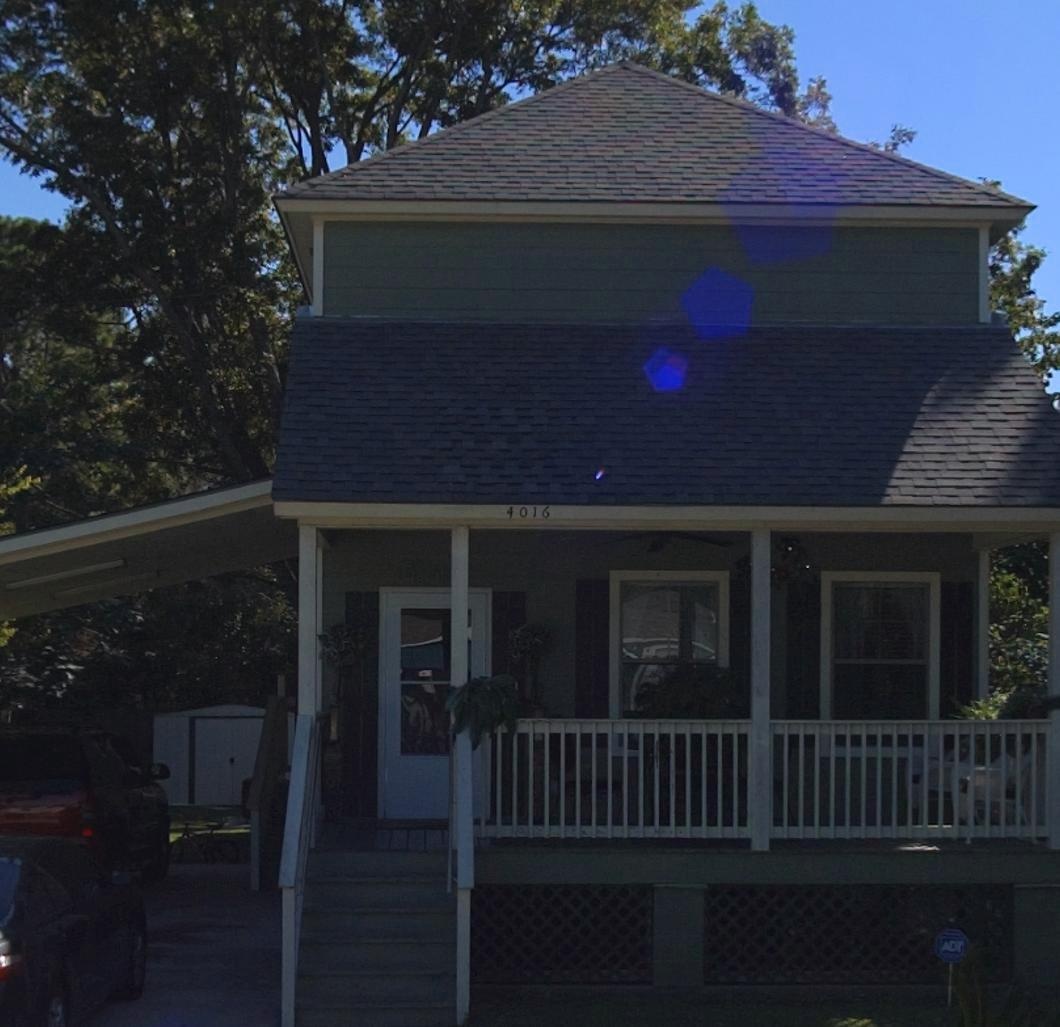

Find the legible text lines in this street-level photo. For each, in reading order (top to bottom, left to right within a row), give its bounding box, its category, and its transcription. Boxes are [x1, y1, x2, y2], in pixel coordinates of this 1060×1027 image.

[506, 505, 550, 520] StreetNumber: 4016
[939, 939, 965, 954] None: ADT